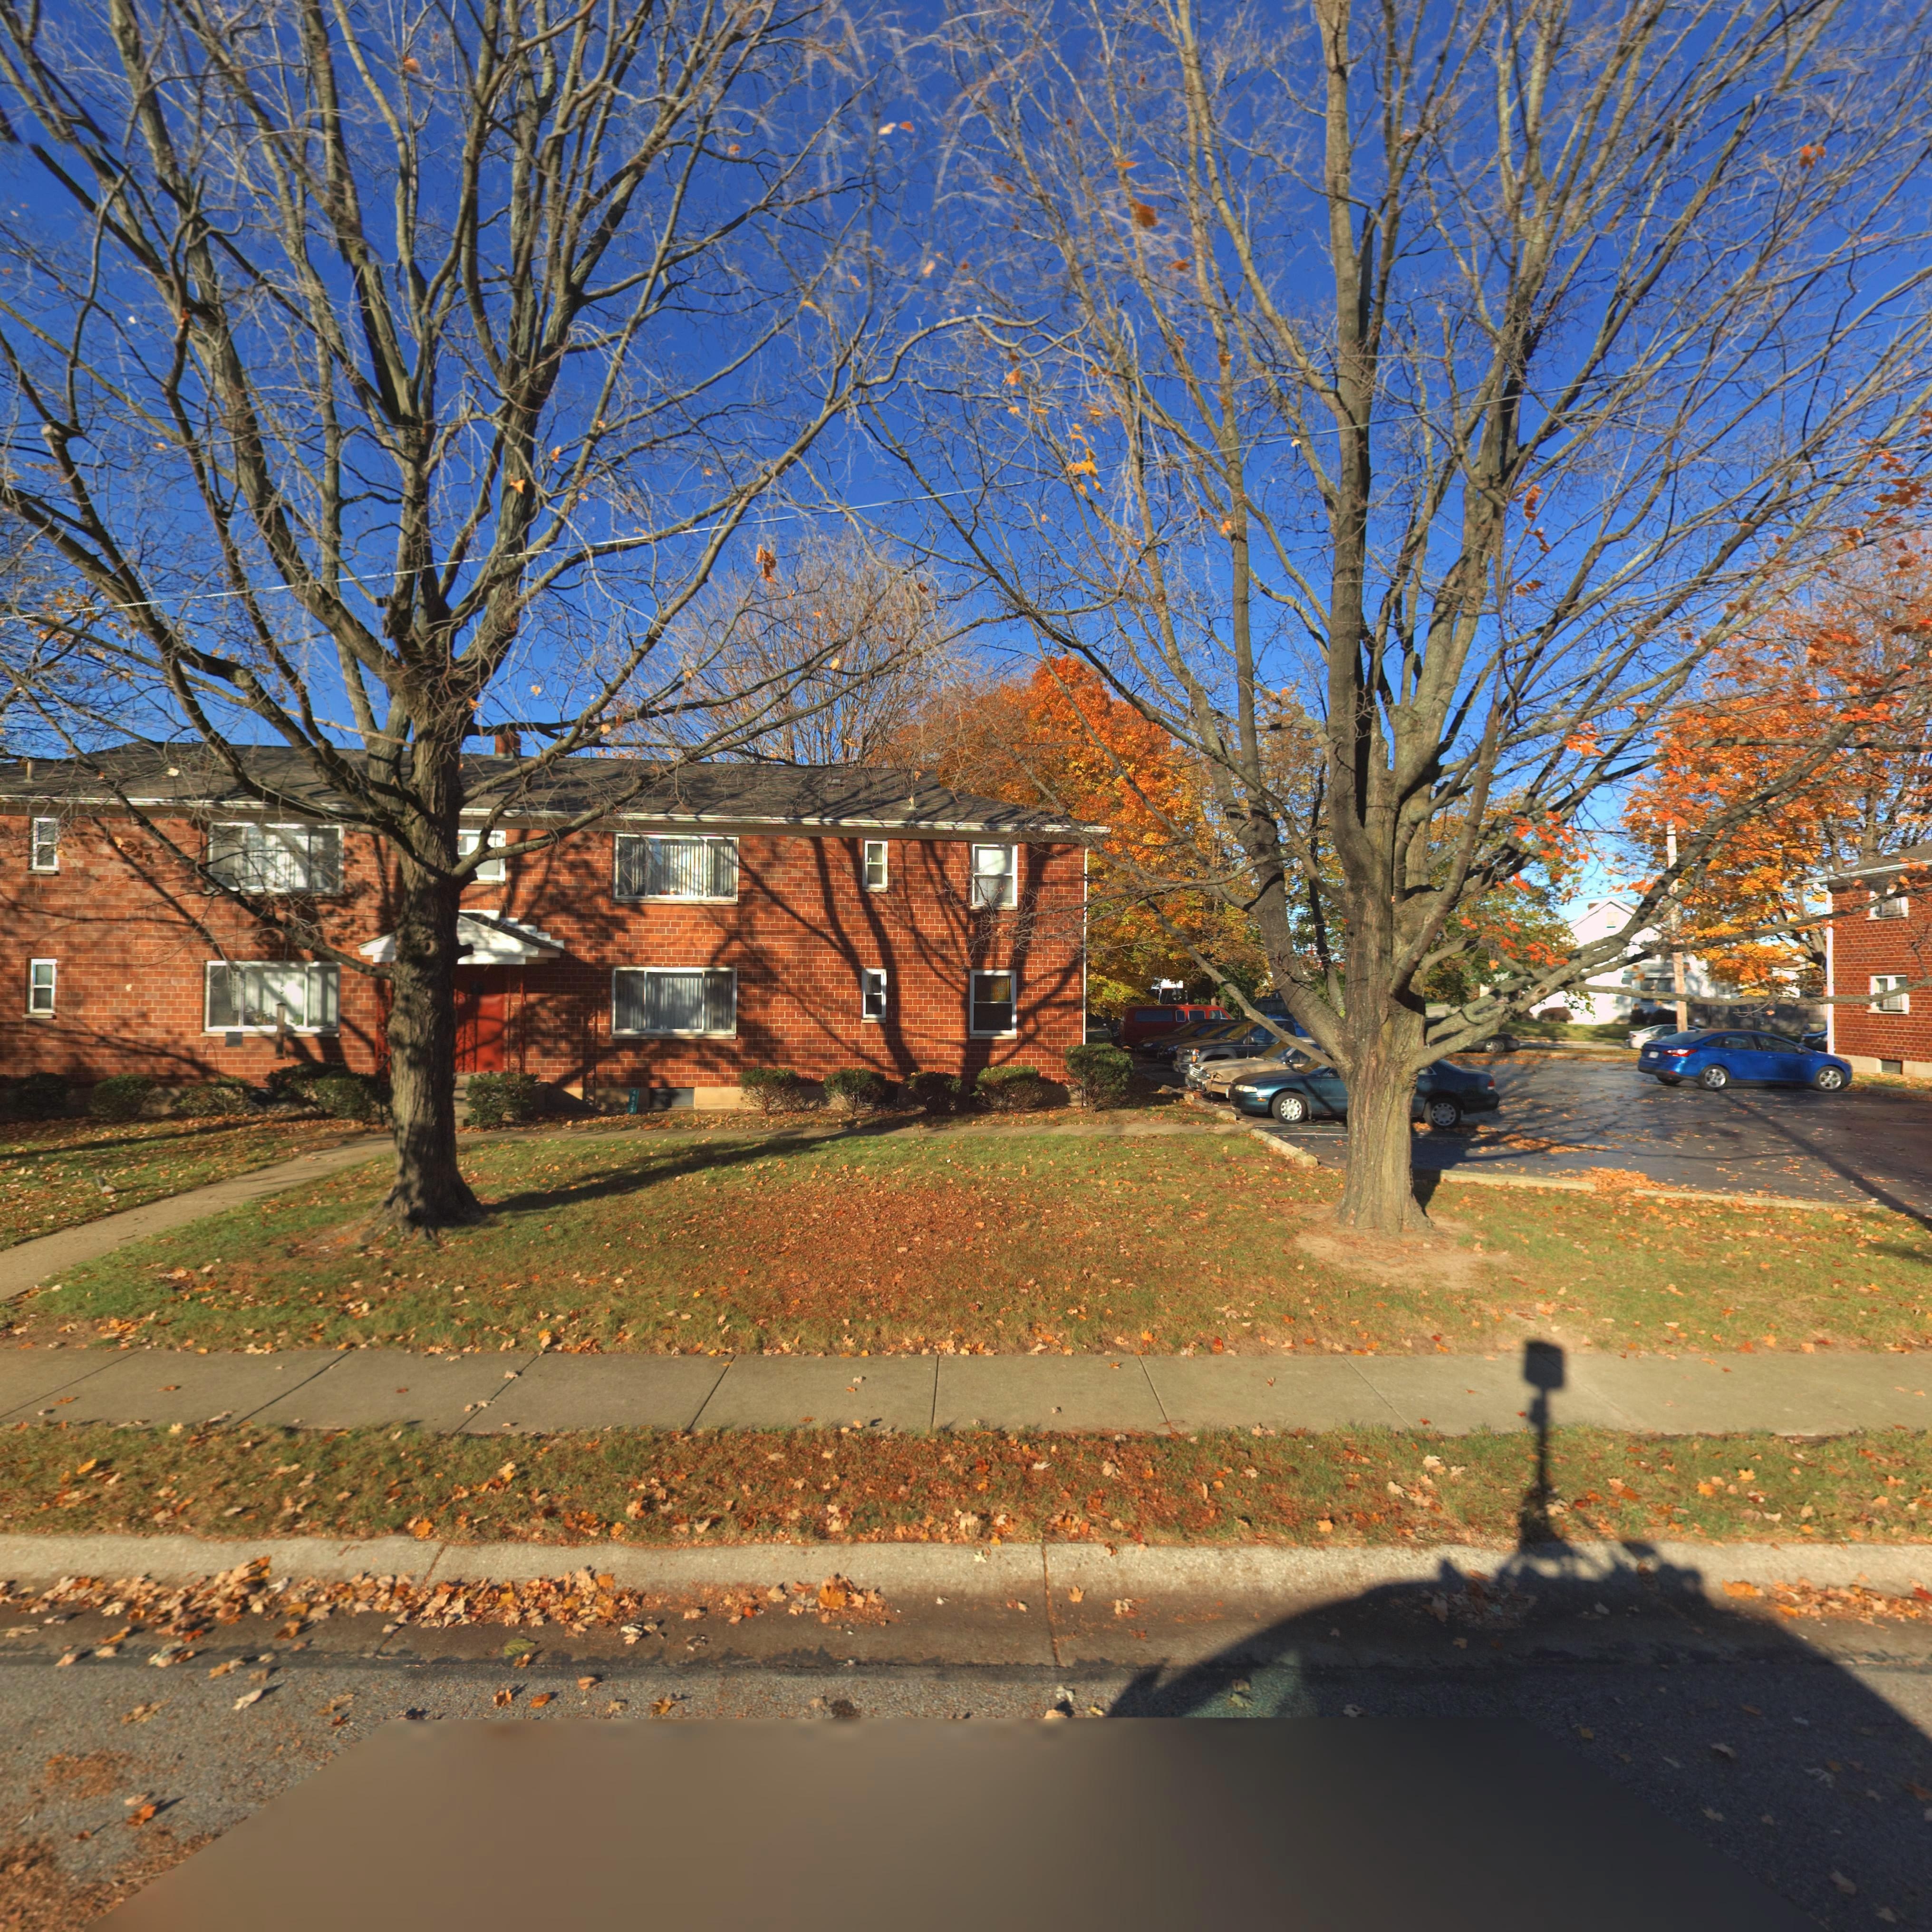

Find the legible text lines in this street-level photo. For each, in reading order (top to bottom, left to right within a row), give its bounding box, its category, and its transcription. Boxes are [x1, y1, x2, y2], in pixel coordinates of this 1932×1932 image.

[629, 1088, 637, 1113] StreetNumber: **33